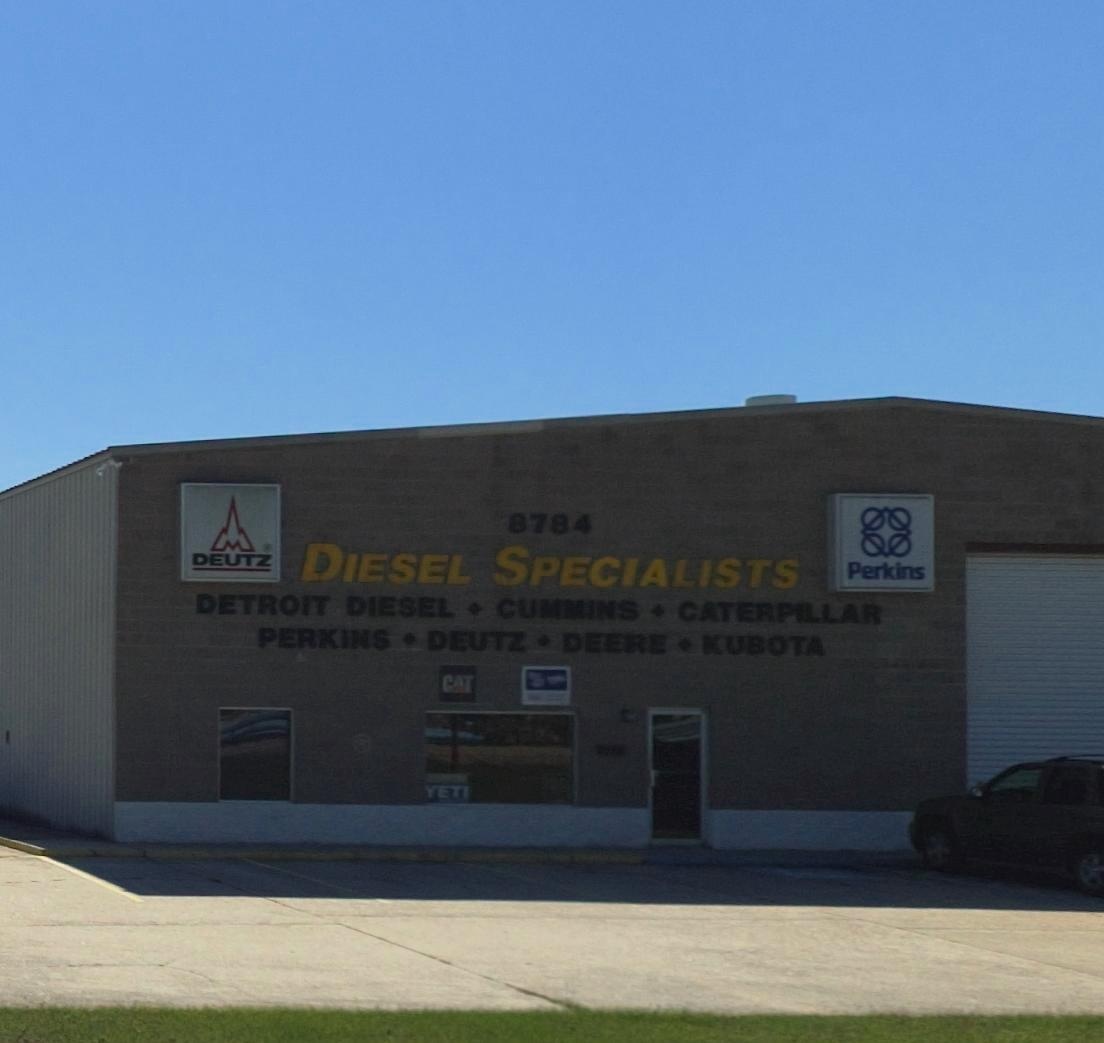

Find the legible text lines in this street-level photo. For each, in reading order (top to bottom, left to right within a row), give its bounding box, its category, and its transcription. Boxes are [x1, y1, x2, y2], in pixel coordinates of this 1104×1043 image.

[507, 511, 593, 538] StreetNumber: 8784
[192, 552, 273, 567] None: DEUTZ
[297, 541, 800, 591] BusinessName: DIESEL SPECIALISTS
[846, 561, 926, 581] None: Perkins
[196, 592, 883, 625] None: DETROIT DIESEL * CUMMINS * CATERPILLAR
[256, 626, 830, 656] None: PERKINS * DEUTZ * DEERE * KUBOTA
[442, 674, 475, 693] None: CAT
[594, 743, 624, 755] StreetNumber: 8784
[423, 784, 469, 800] None: YETI